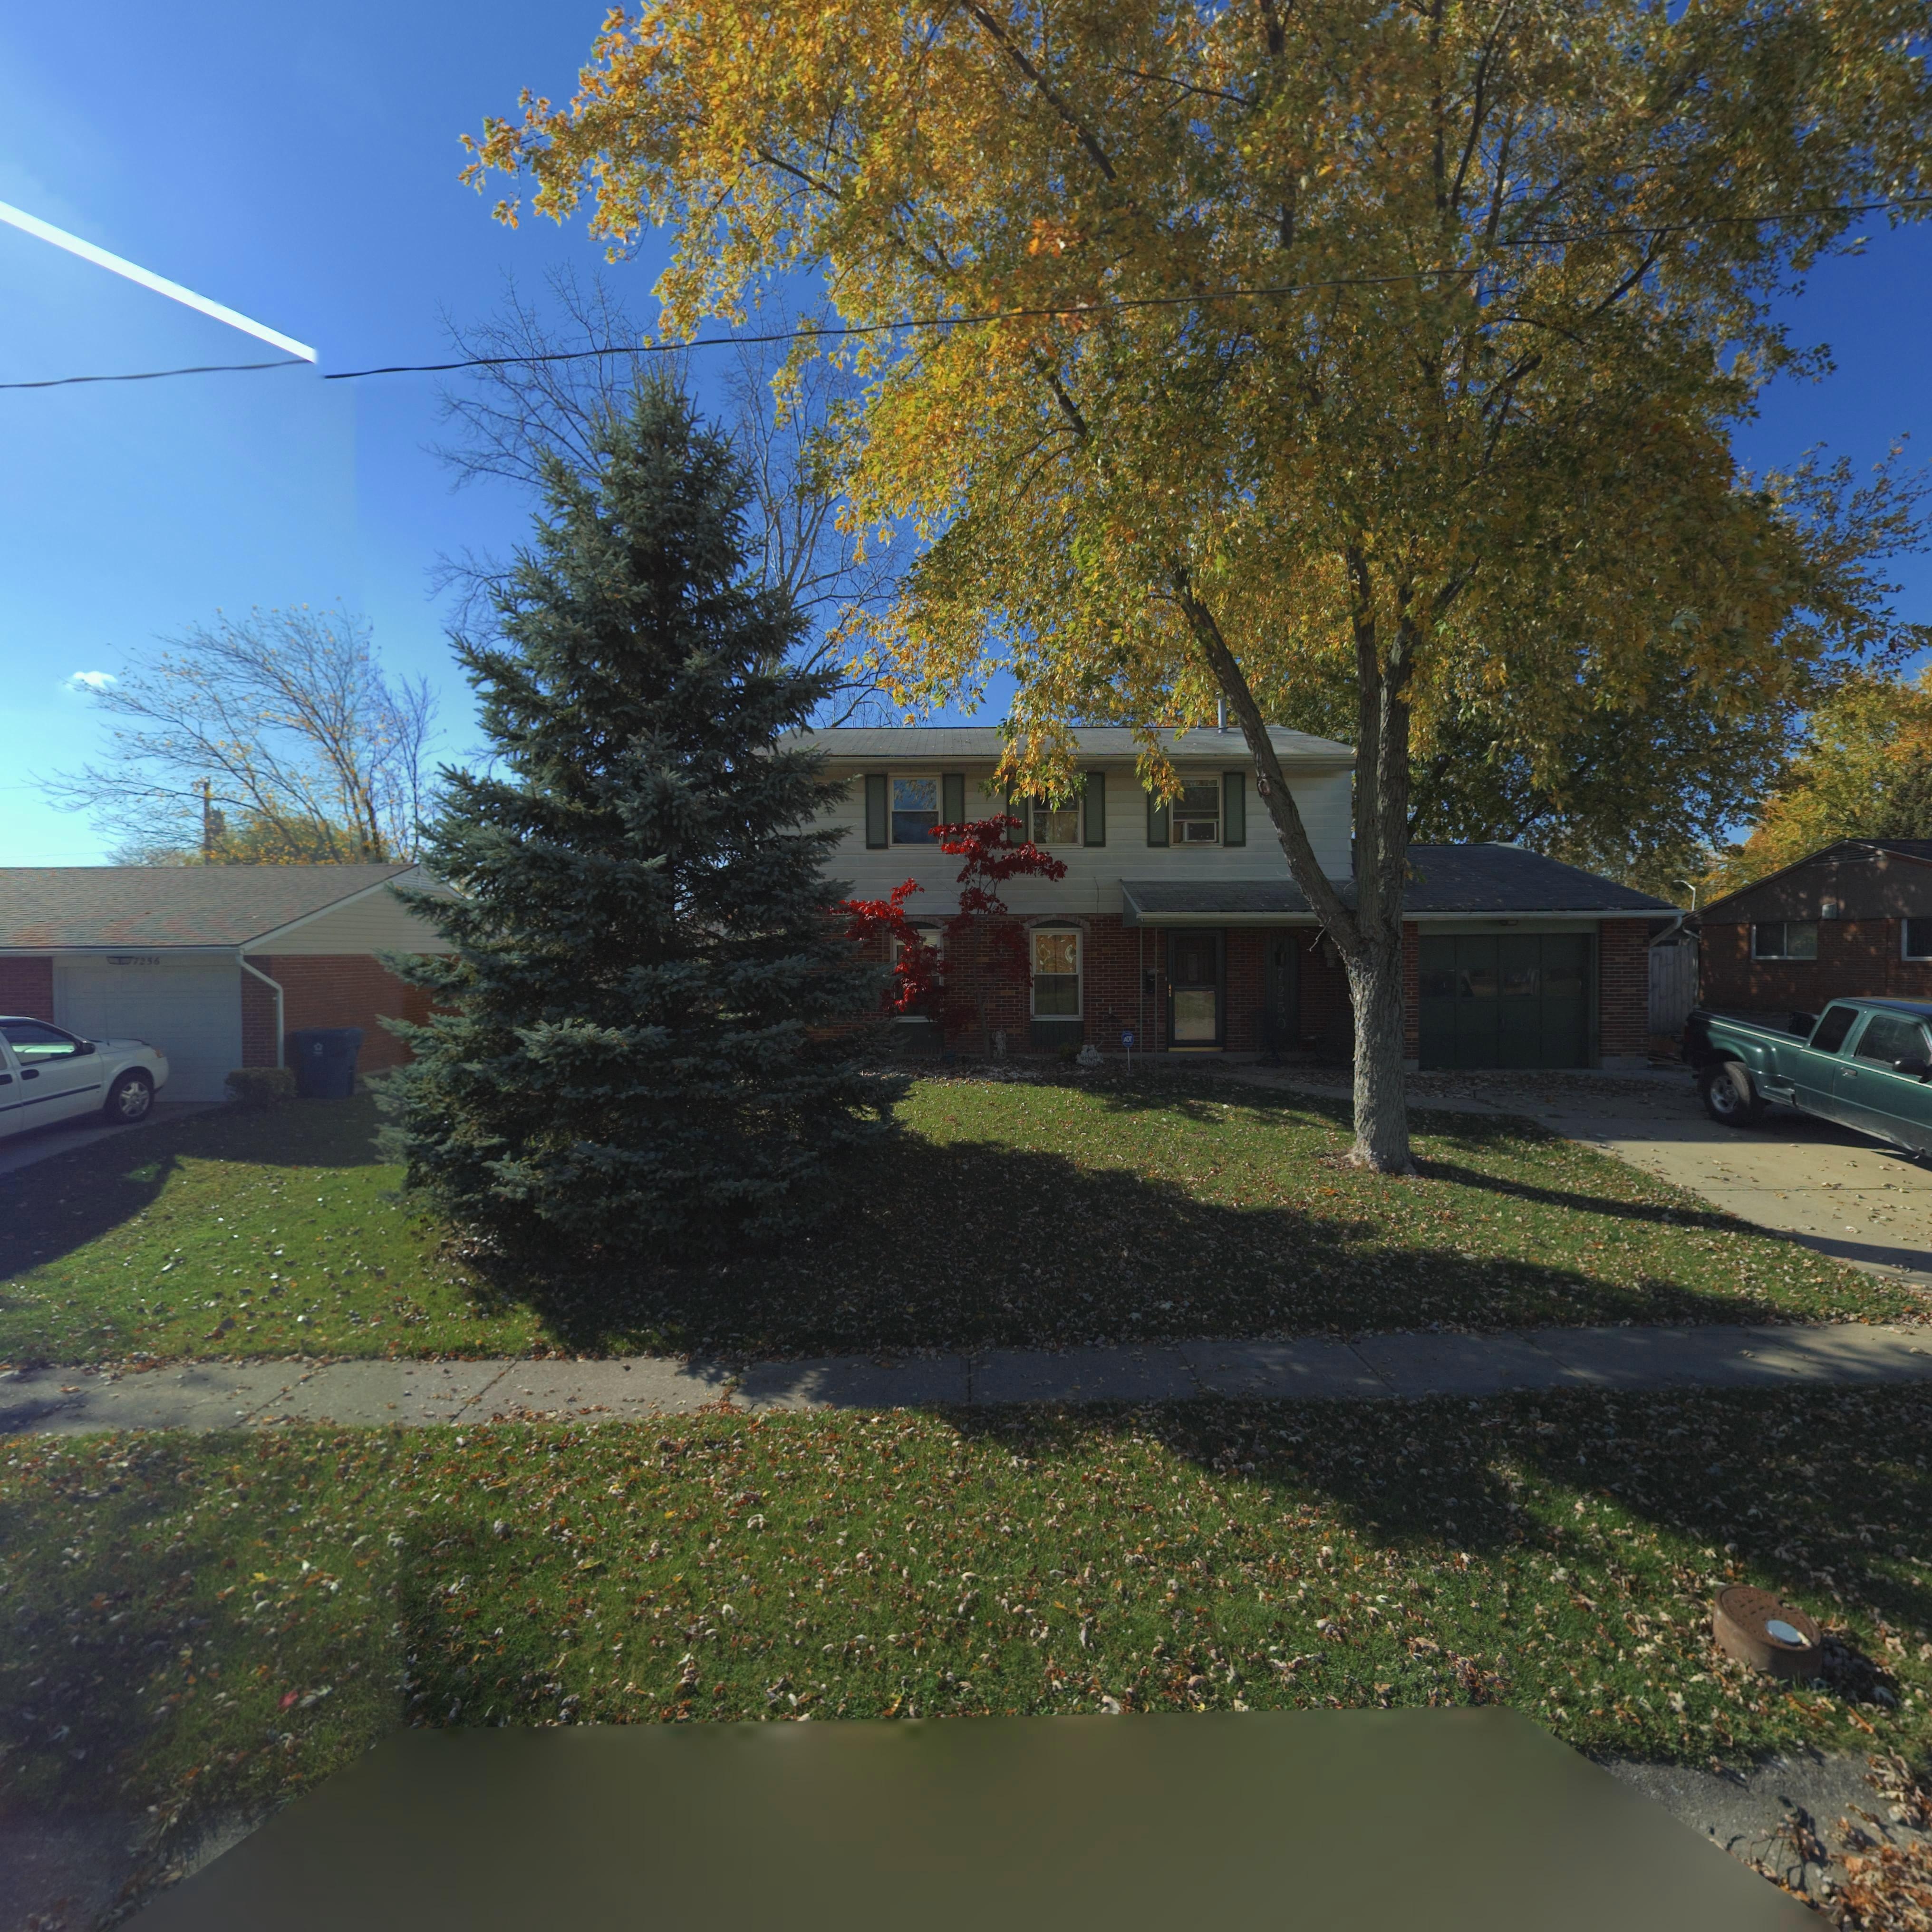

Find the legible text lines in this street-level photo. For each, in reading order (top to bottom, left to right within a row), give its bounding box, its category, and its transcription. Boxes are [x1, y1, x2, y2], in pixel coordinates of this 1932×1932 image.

[132, 955, 162, 966] StreetNumber: 7256
[1275, 967, 1289, 1031] StreetNumber: 7250